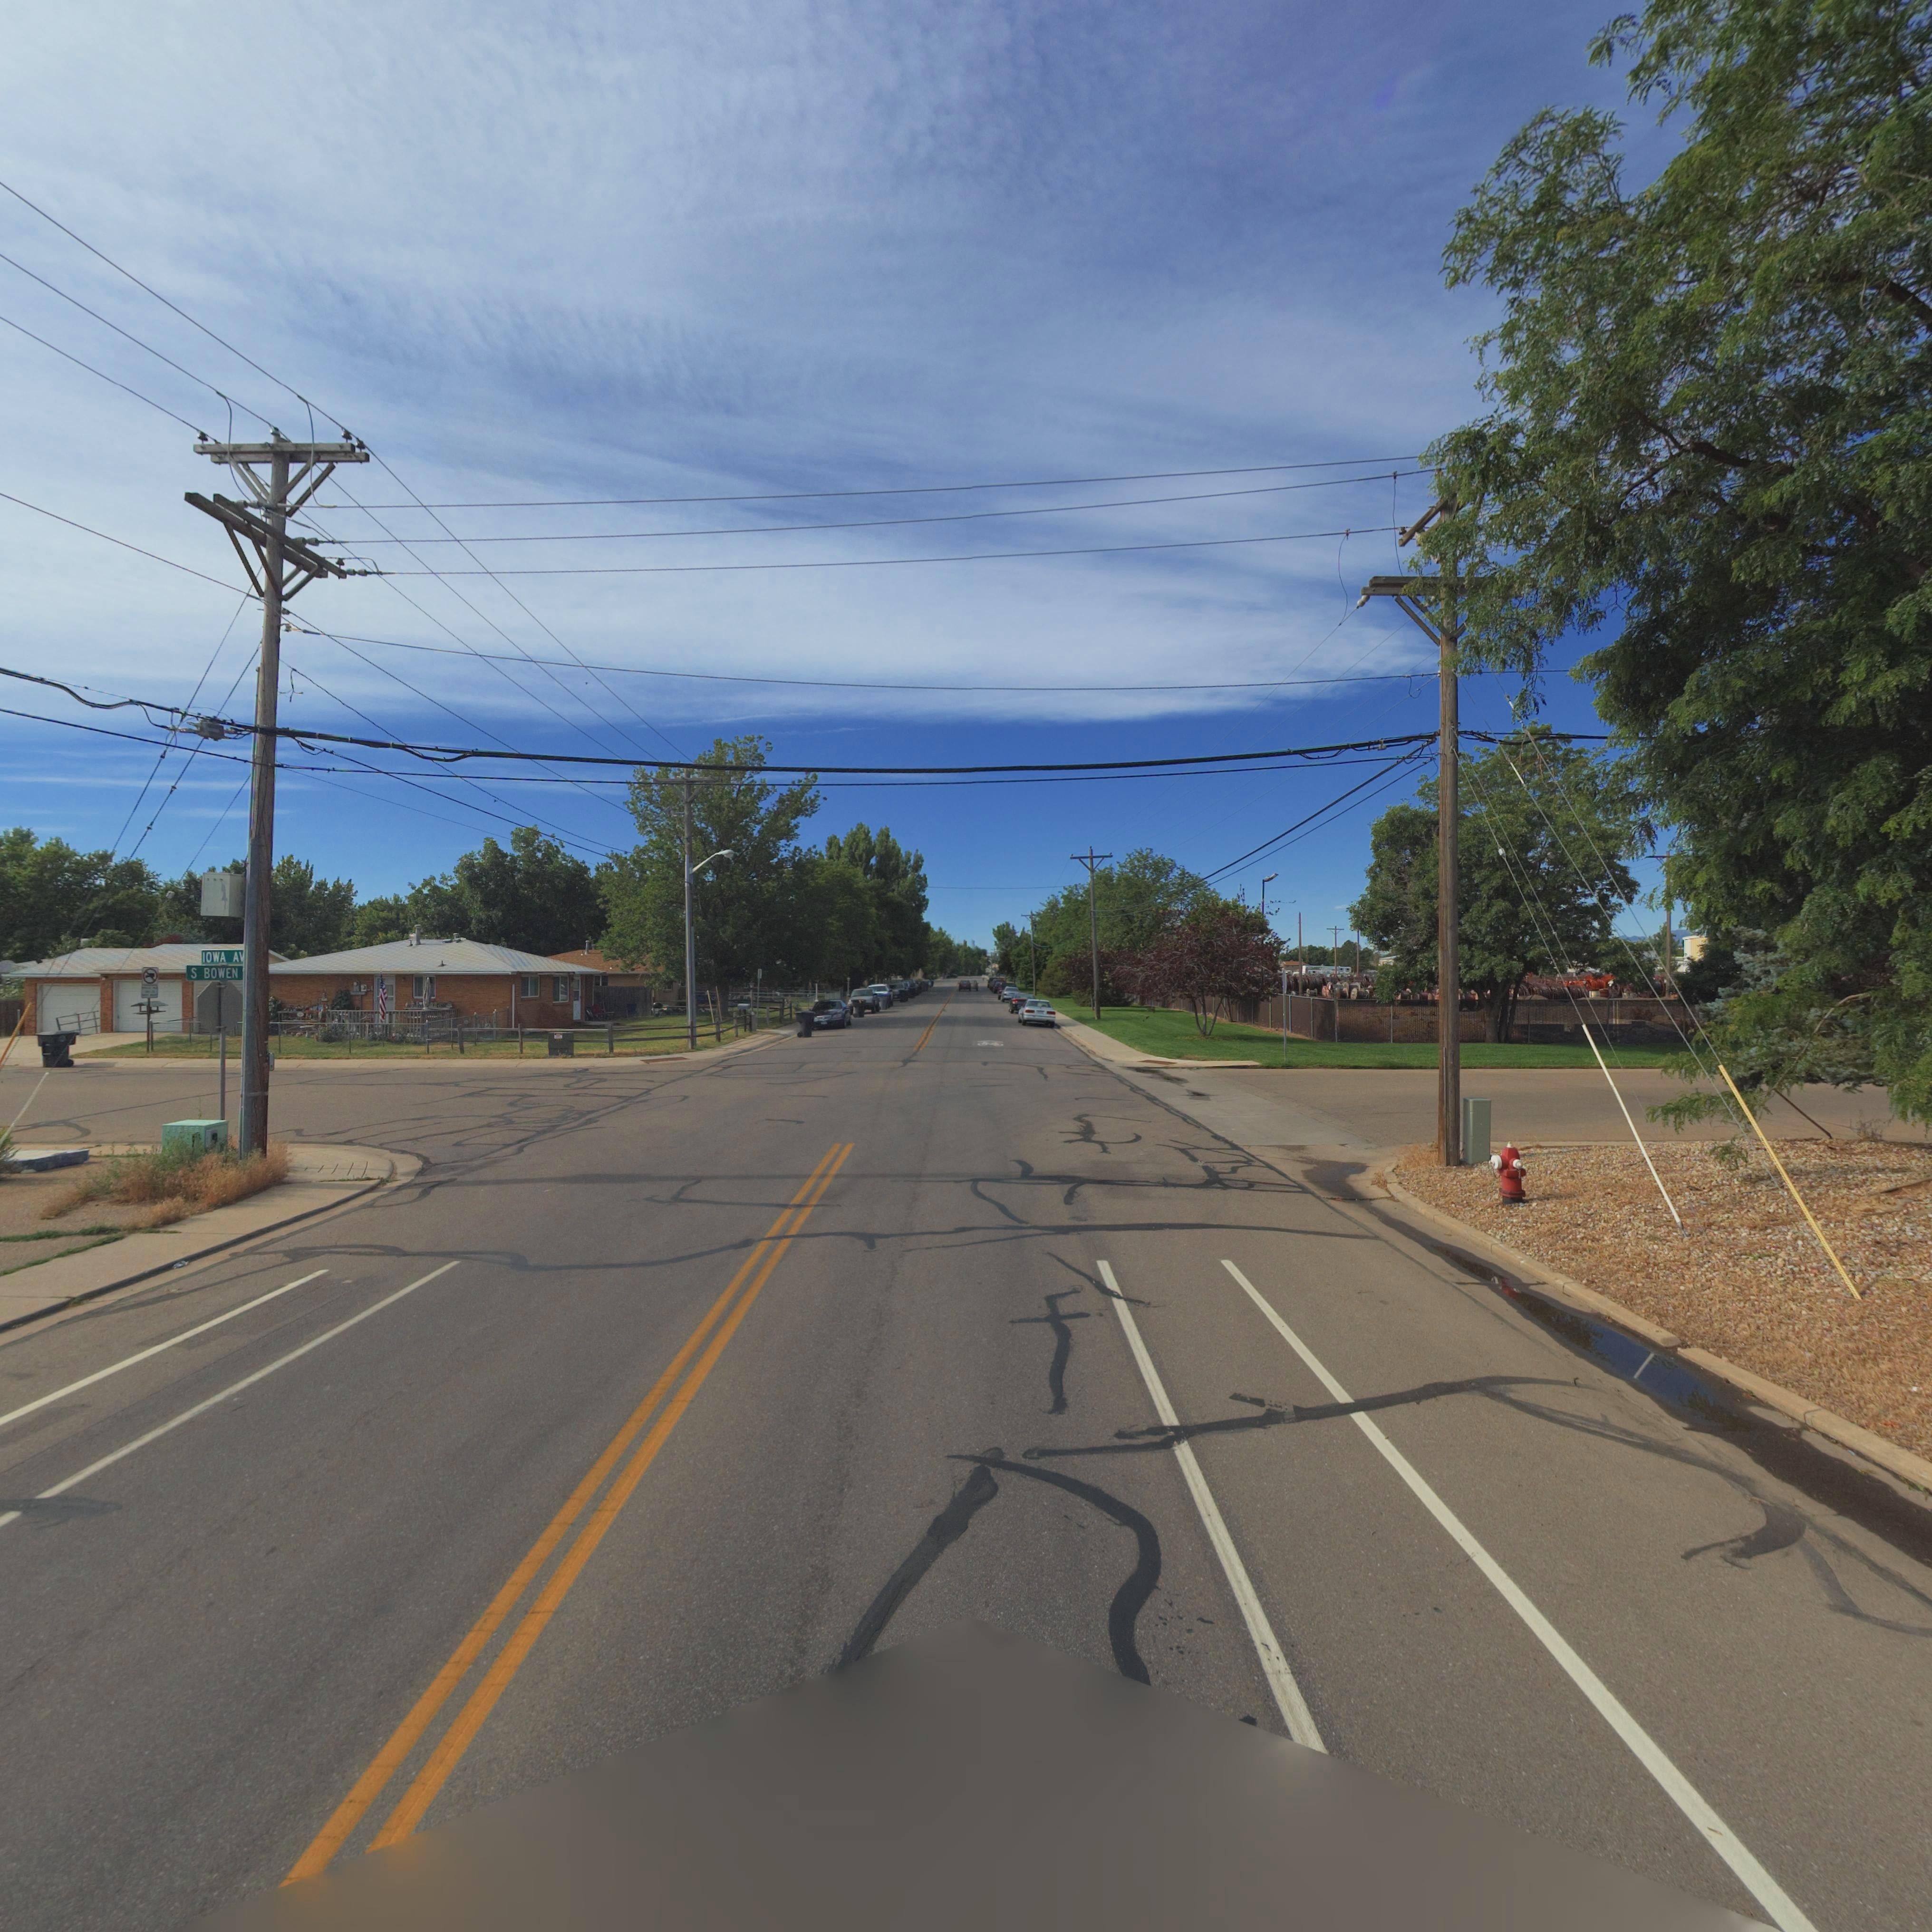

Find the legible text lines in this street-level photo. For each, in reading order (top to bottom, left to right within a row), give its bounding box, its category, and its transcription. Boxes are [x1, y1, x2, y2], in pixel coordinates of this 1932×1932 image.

[203, 951, 245, 964] StreetName: IOWA A*
[189, 966, 241, 980] StreetName: S BOWEN